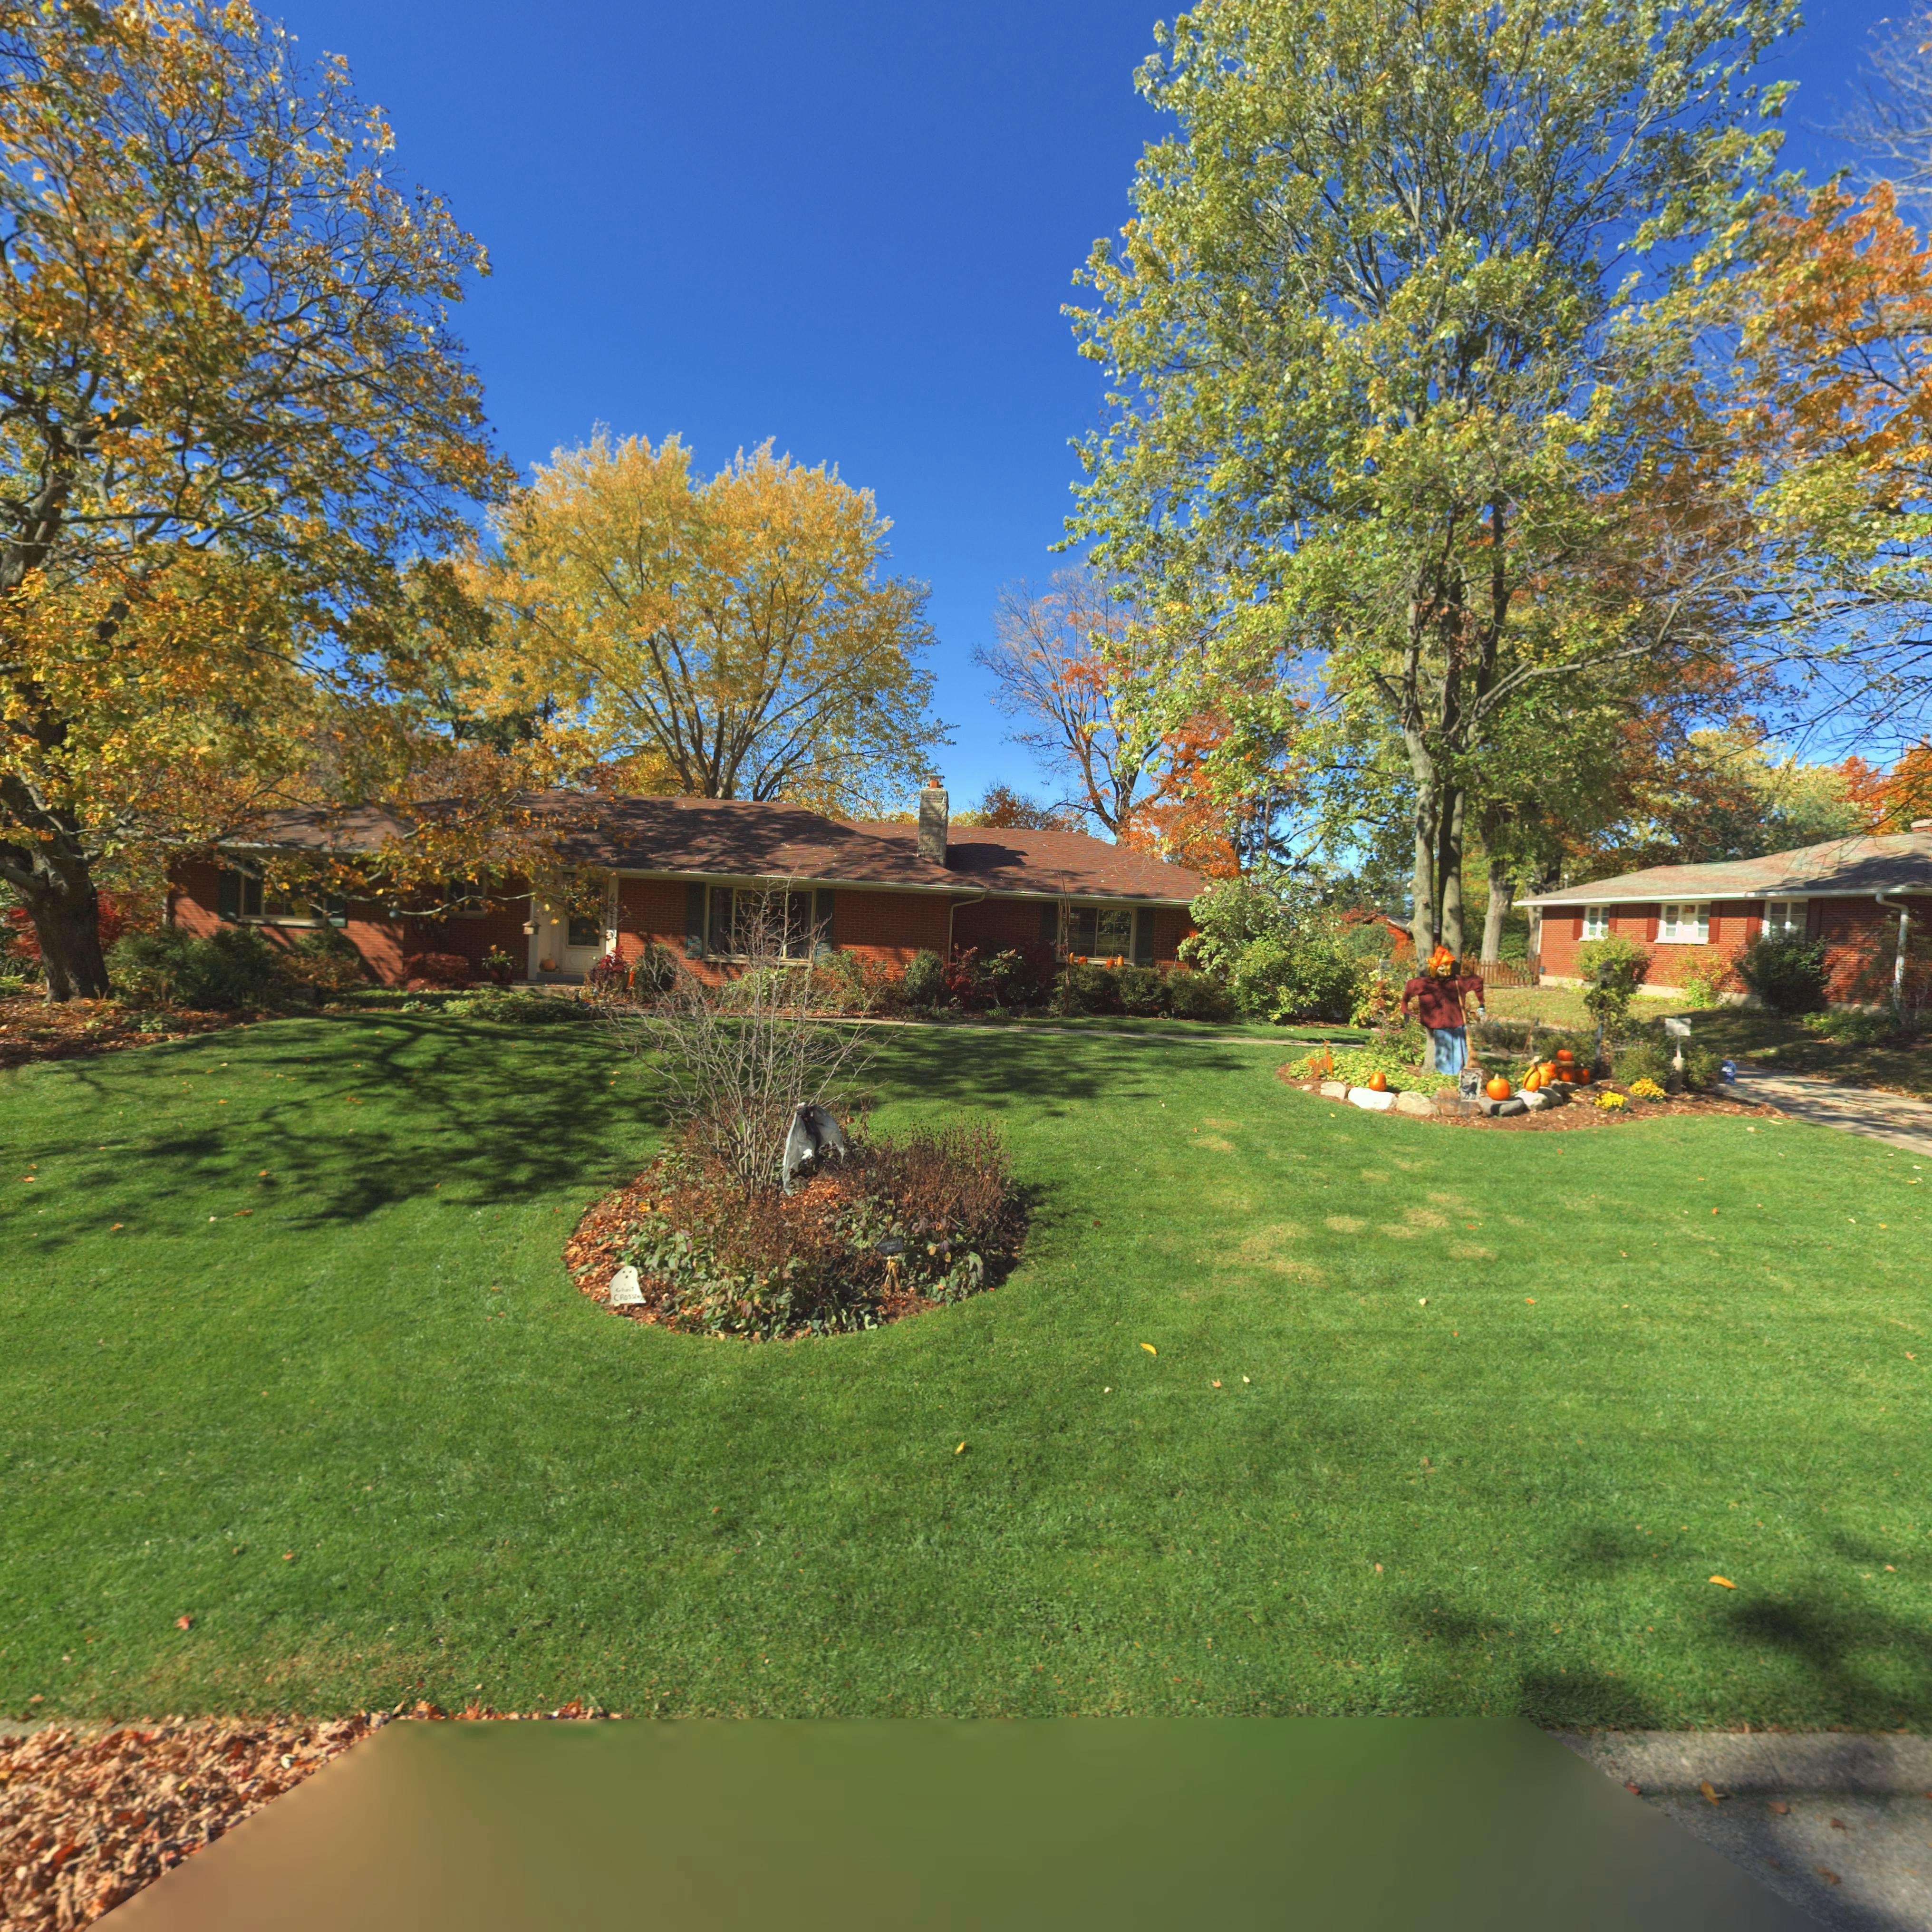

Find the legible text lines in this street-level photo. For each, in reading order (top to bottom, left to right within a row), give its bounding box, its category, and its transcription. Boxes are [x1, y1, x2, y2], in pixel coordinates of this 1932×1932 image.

[608, 892, 617, 937] StreetNumber: 4*1*